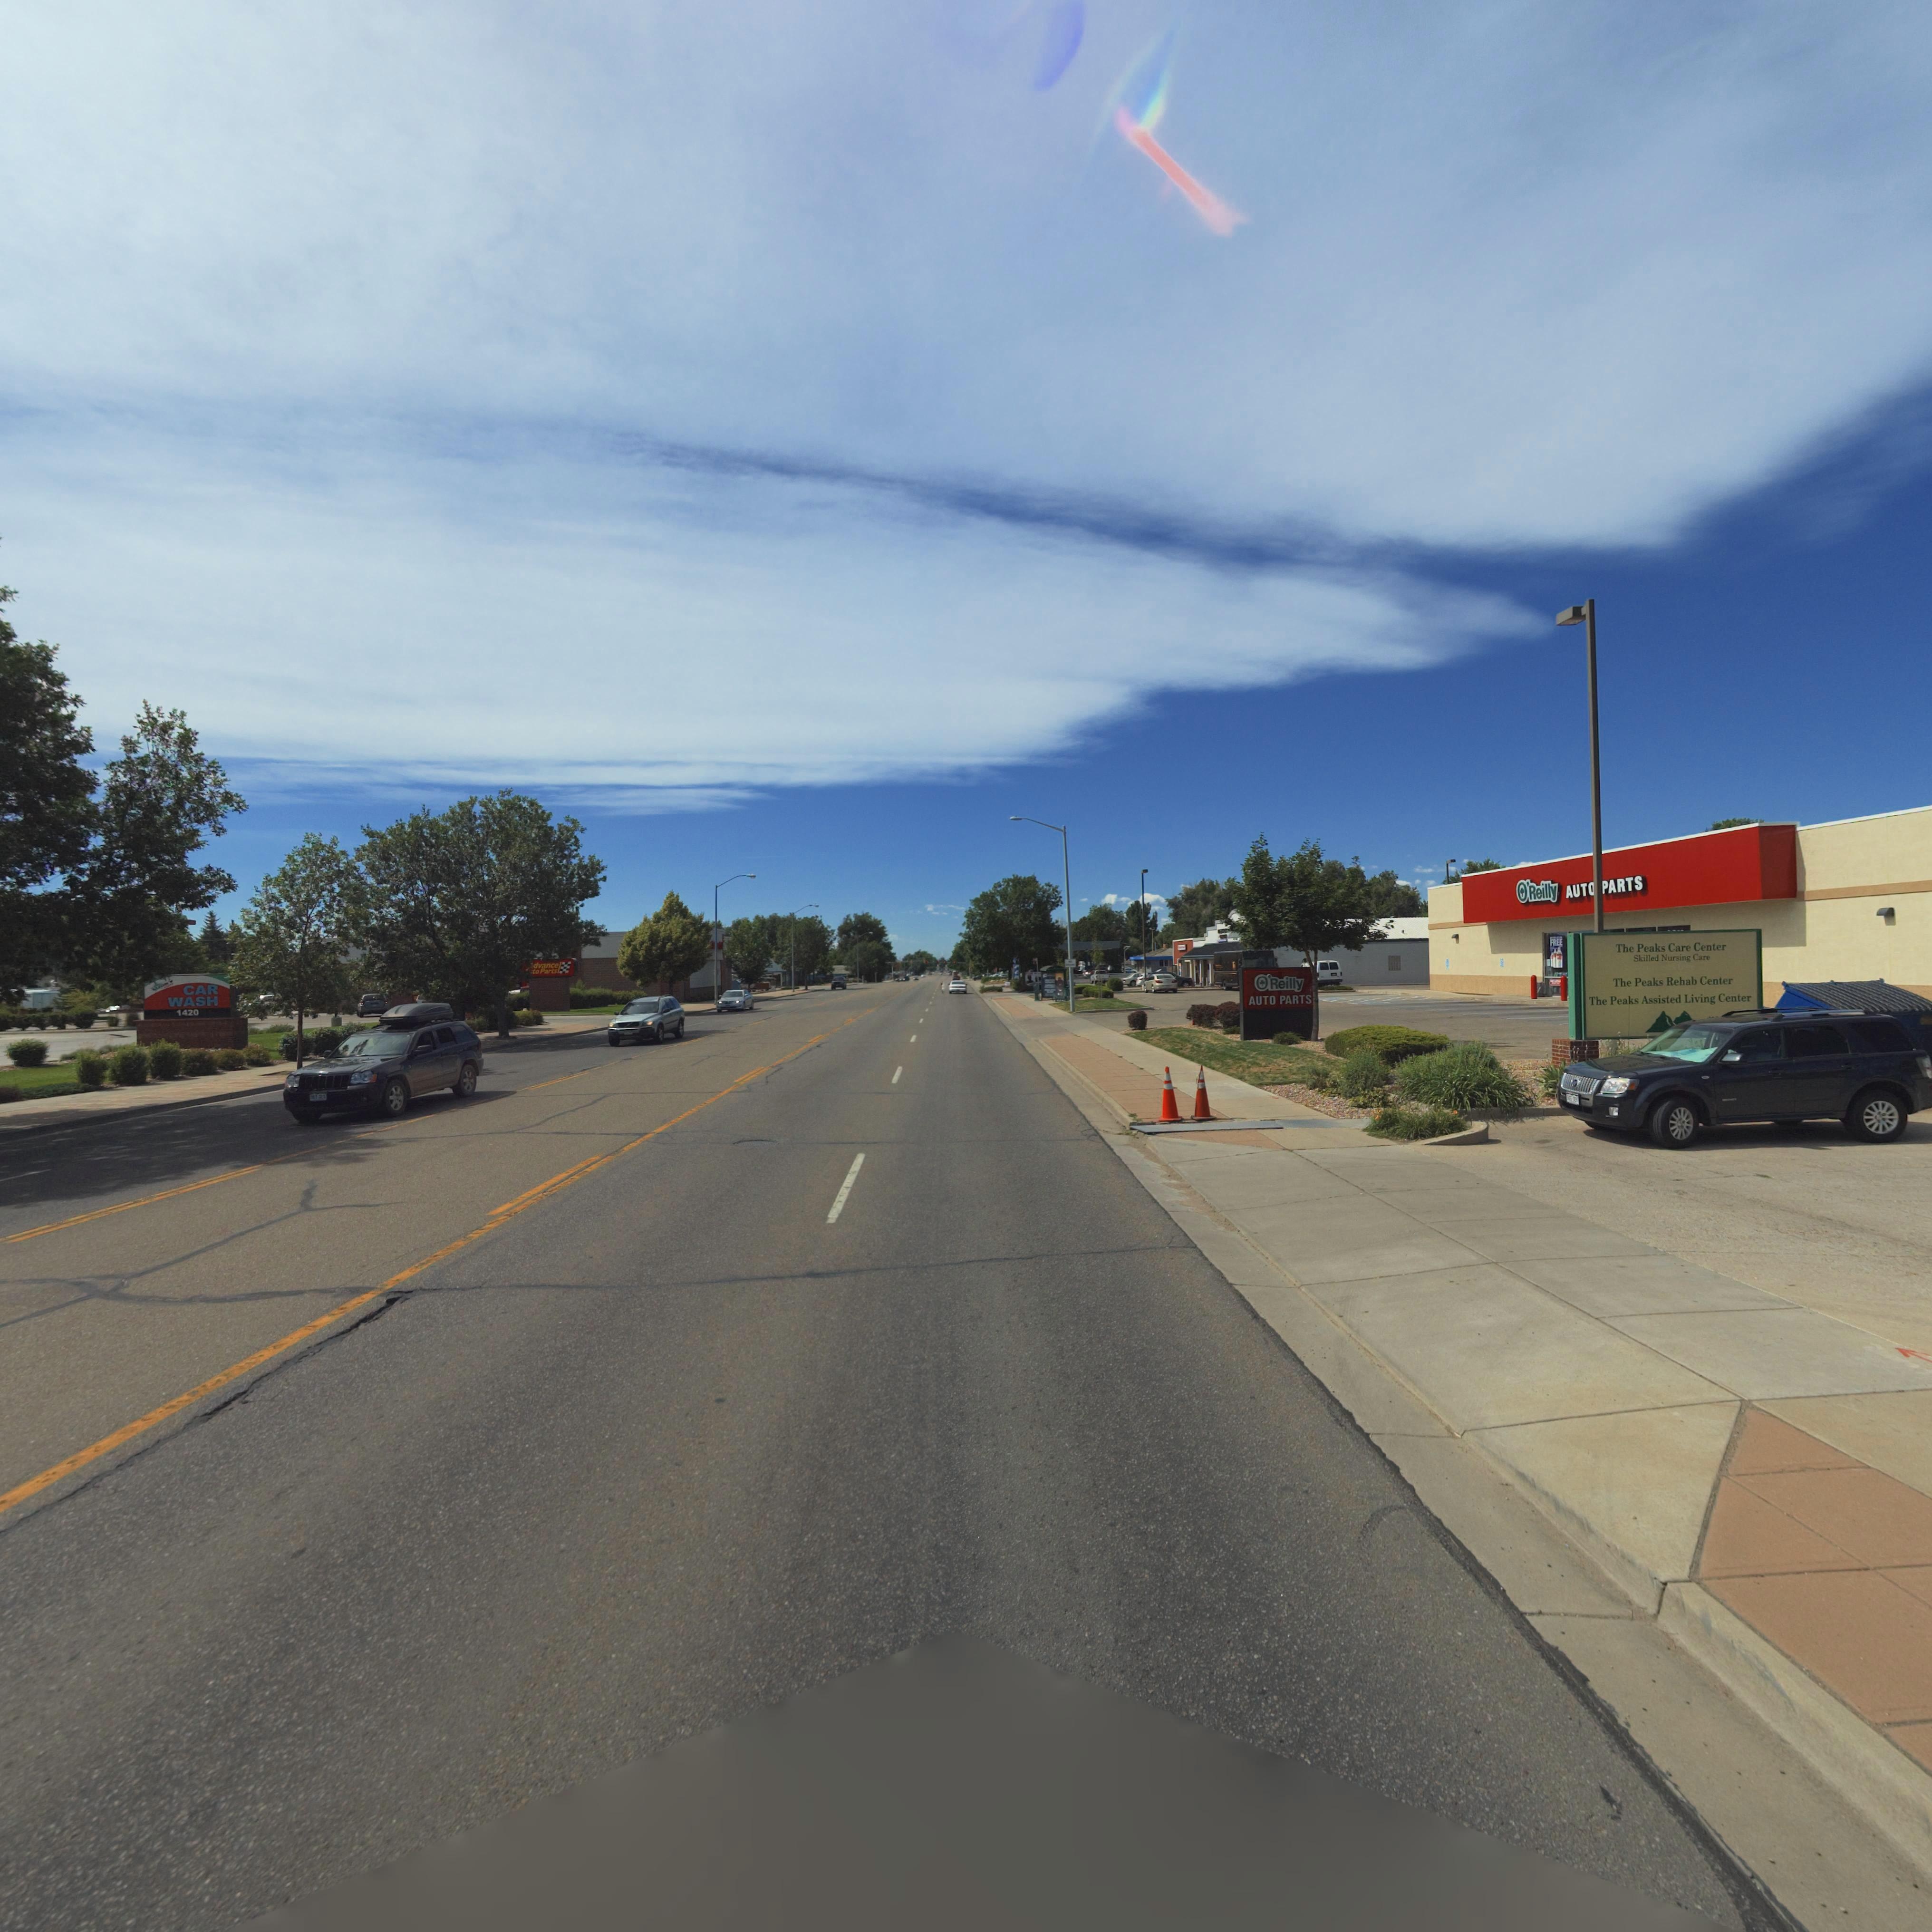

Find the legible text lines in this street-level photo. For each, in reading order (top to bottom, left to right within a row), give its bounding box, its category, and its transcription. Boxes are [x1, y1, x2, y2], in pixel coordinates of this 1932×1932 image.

[1516, 874, 1643, 902] BusinessName: O'Reilly AUTO PARTS
[1615, 941, 1728, 953] BusinessName: The Peaks Care Center
[527, 962, 559, 968] BusinessName: *dvance
[532, 968, 558, 974] BusinessName: to Parts
[1255, 974, 1304, 991] BusinessName: O'Reilly
[1247, 994, 1312, 1006] BusinessName: AUTO PARTS
[176, 1009, 199, 1016] StreetNumber: 1420